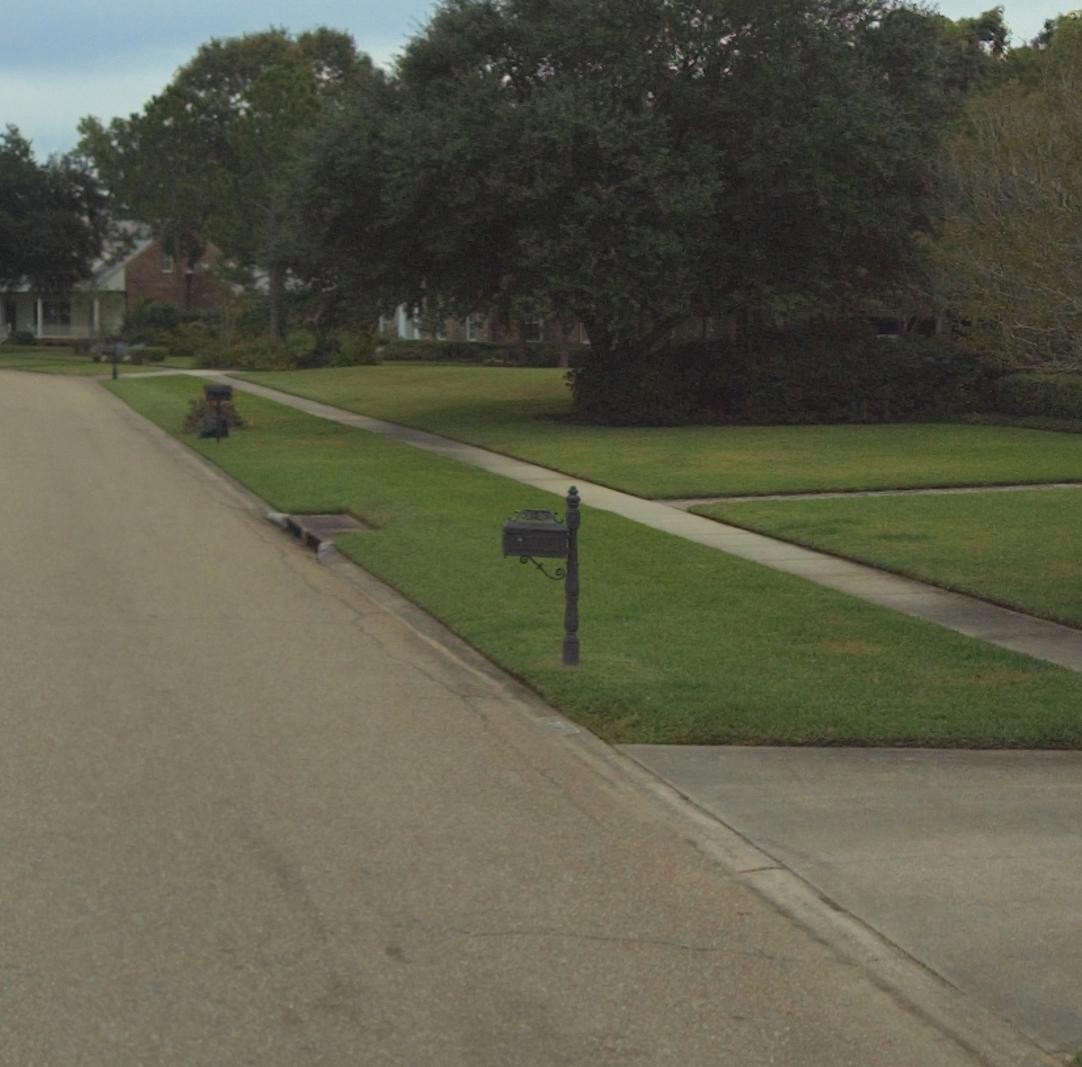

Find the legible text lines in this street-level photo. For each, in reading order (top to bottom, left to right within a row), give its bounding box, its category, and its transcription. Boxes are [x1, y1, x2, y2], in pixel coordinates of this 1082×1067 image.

[522, 510, 552, 521] StreetNumber: 7038